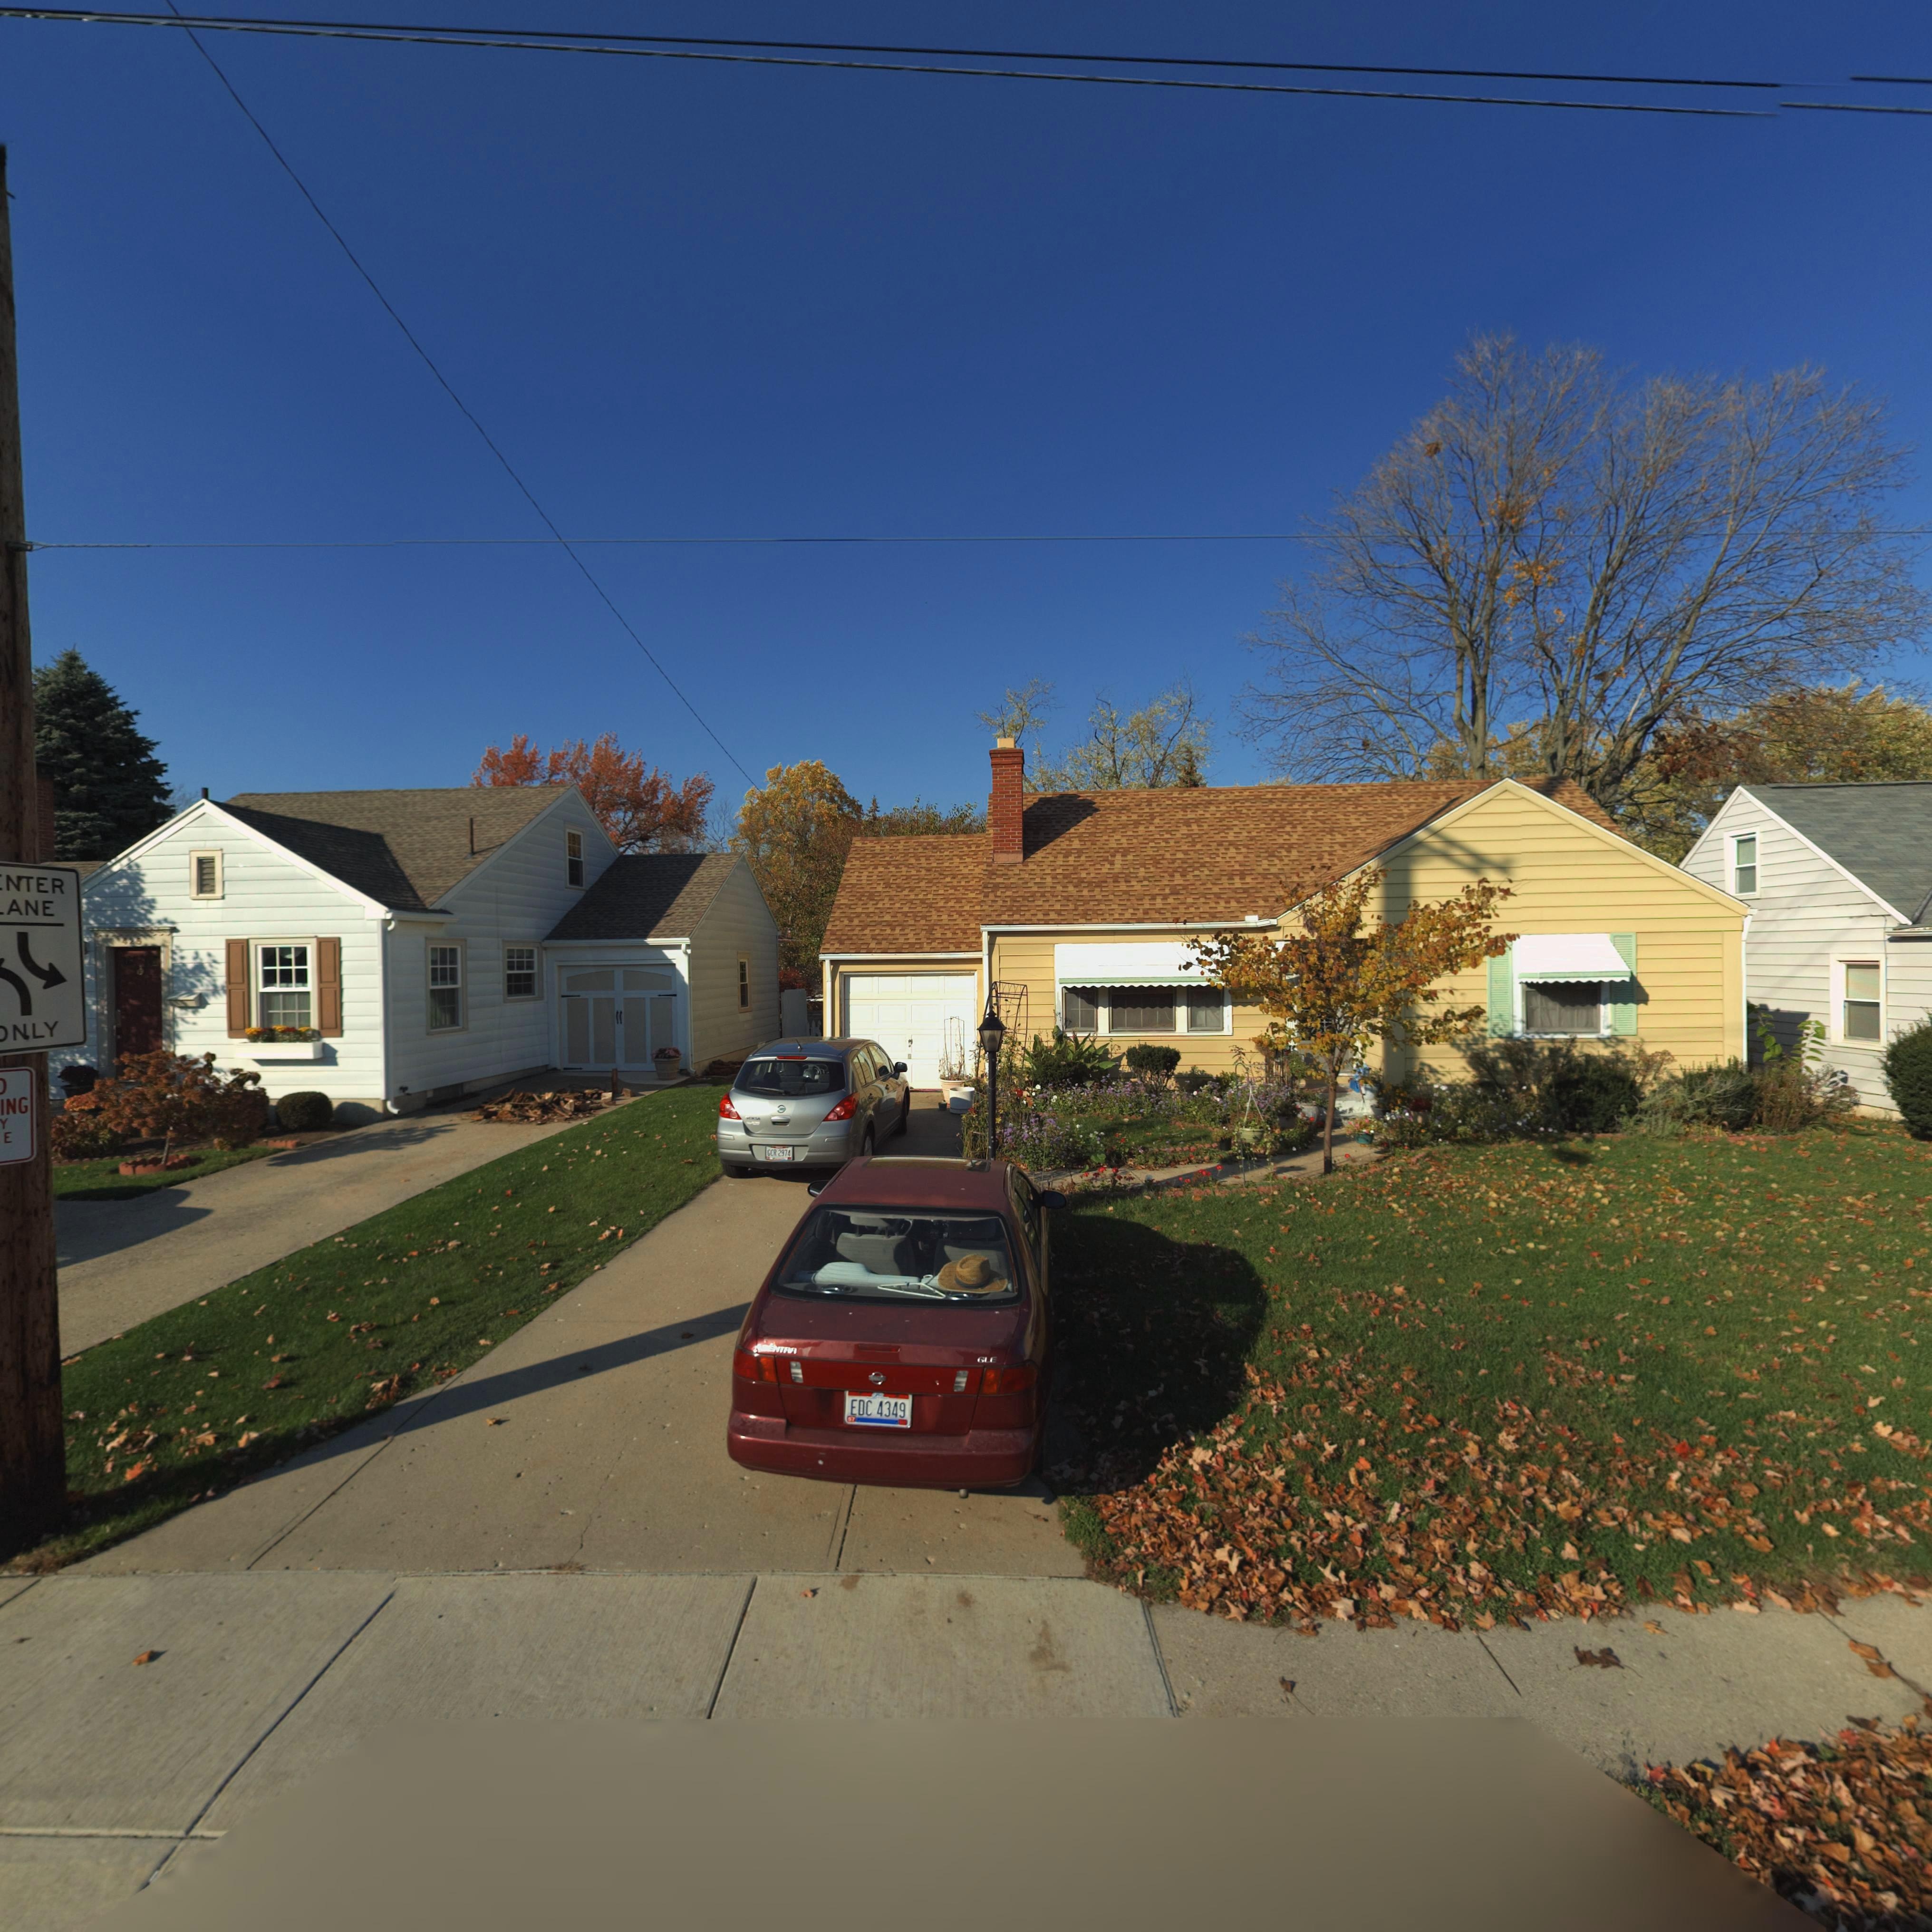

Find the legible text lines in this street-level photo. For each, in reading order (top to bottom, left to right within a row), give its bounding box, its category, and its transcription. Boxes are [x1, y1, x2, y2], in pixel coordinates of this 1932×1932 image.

[121, 937, 143, 945] StreetNumber: 425